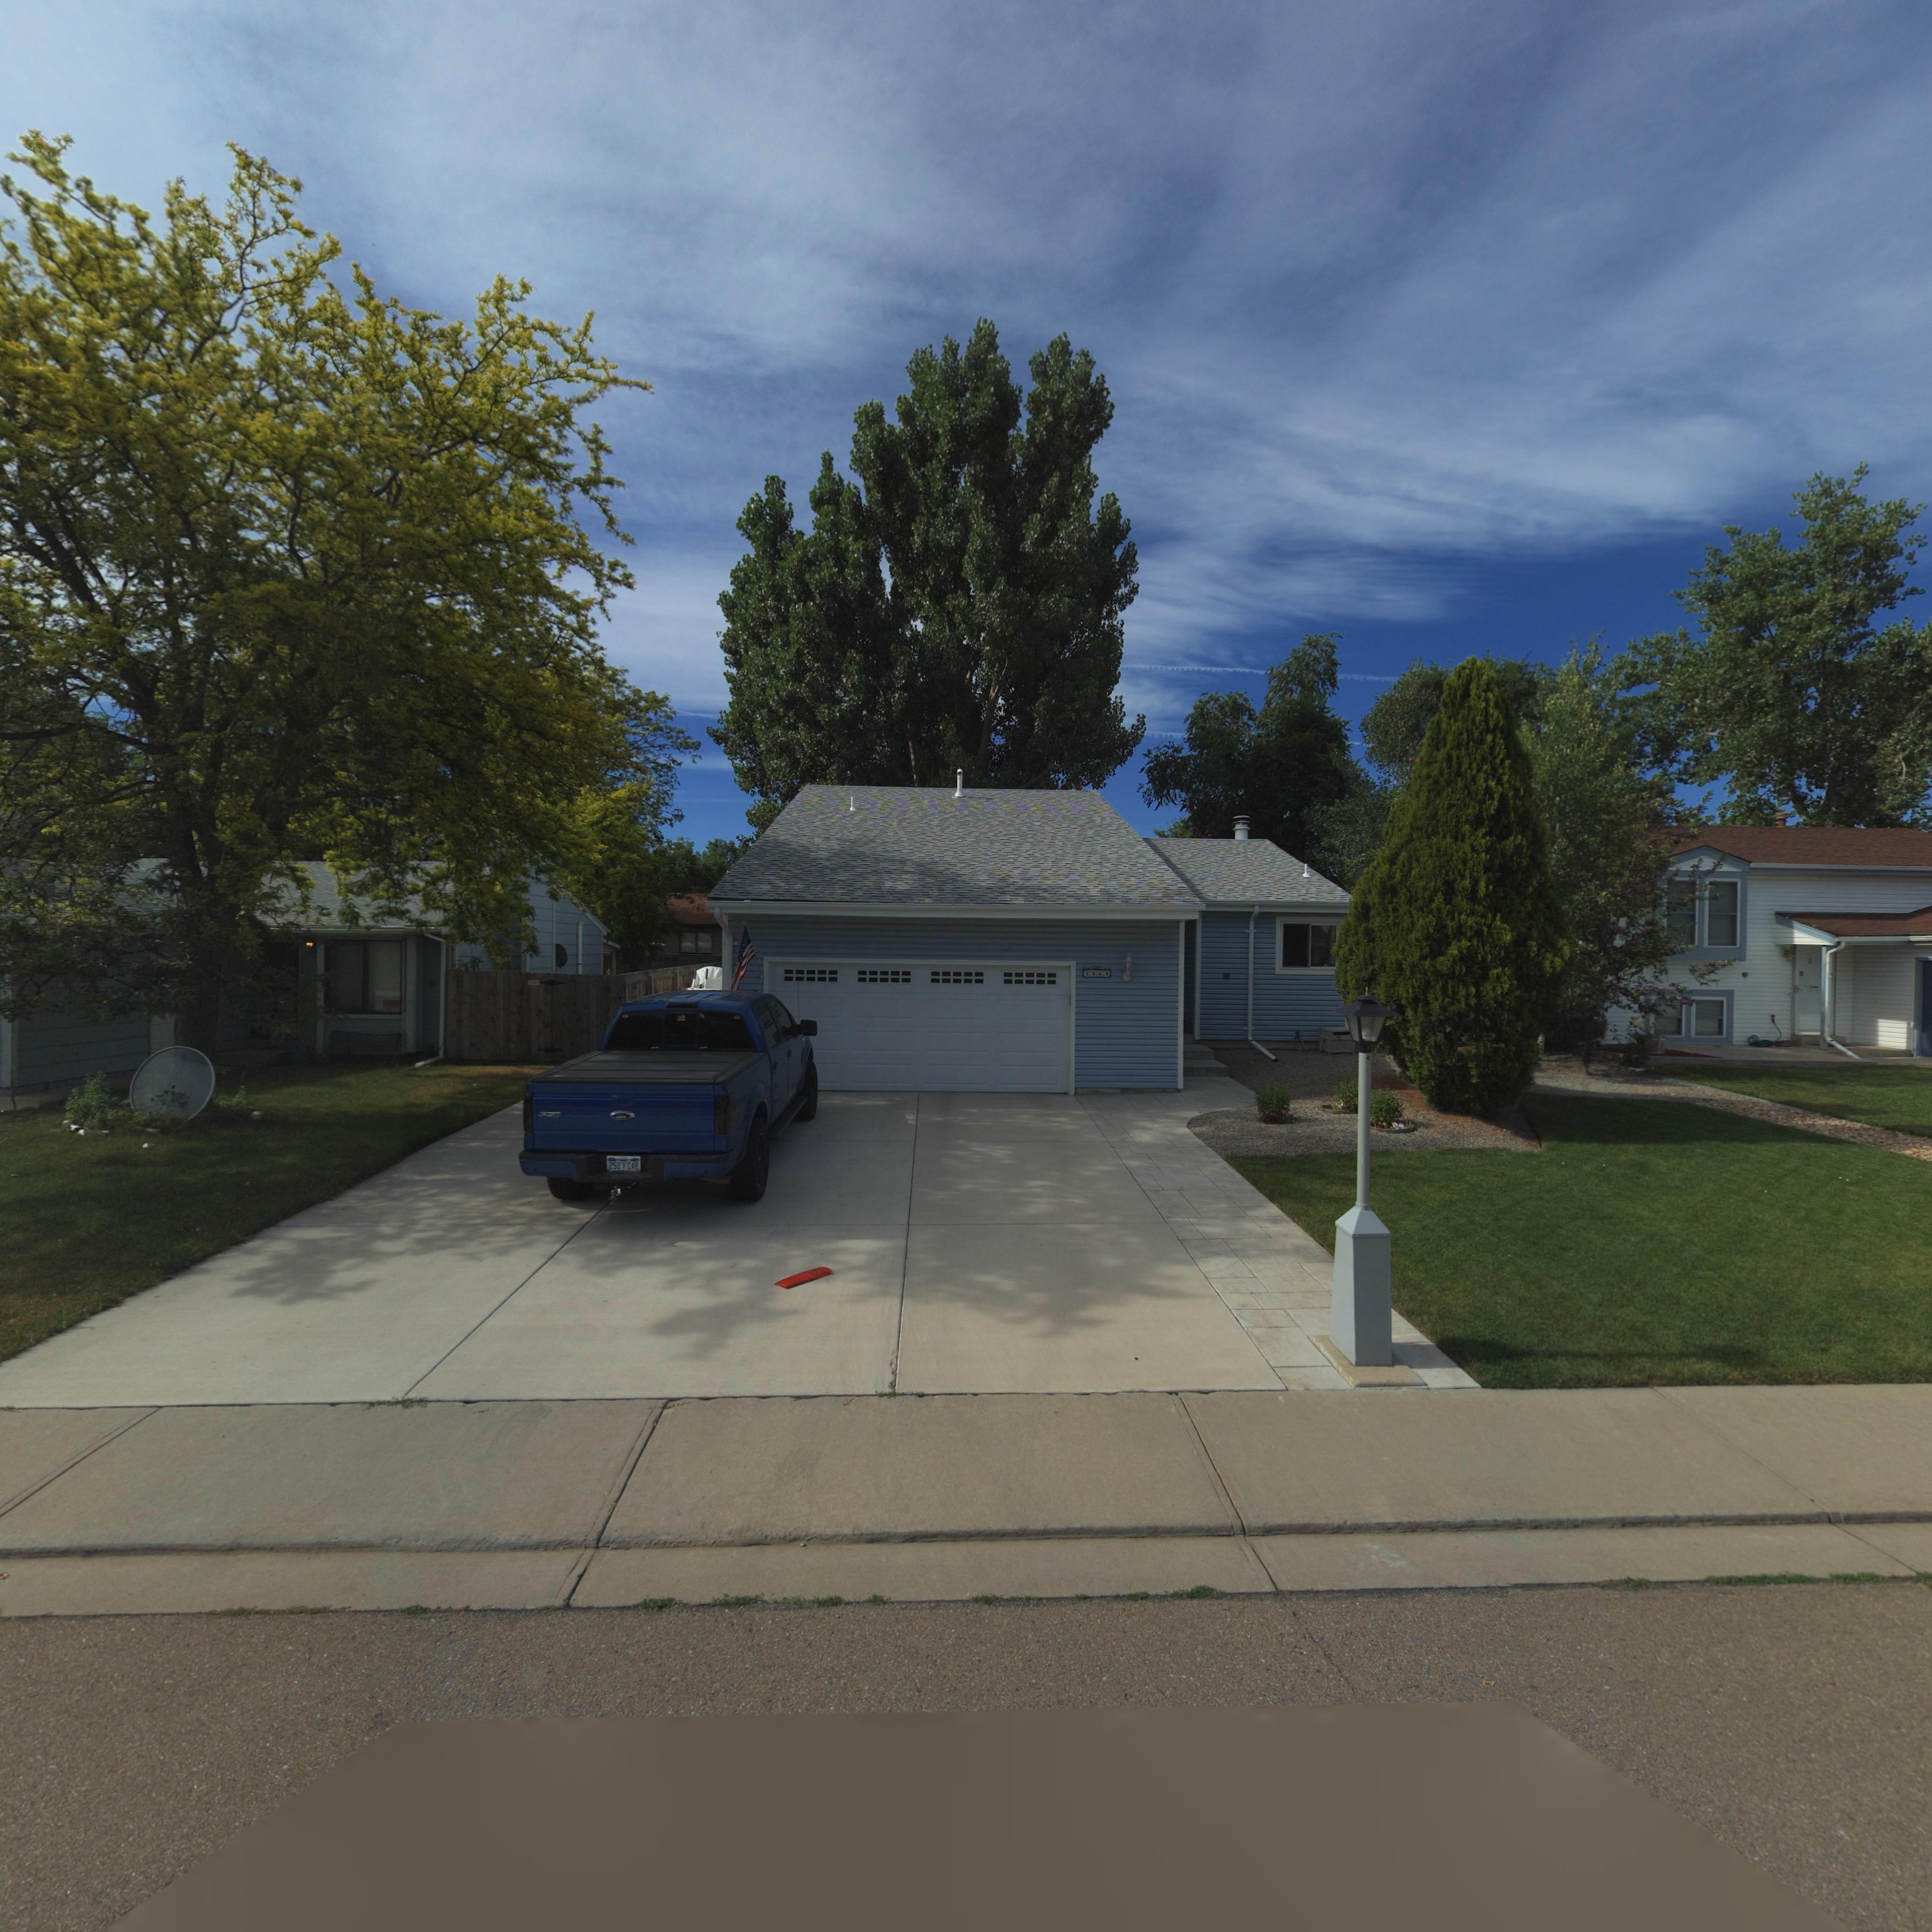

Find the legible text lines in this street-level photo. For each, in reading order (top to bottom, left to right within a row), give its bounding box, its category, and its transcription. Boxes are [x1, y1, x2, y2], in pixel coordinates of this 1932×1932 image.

[1085, 971, 1109, 976] StreetNumber: 1543